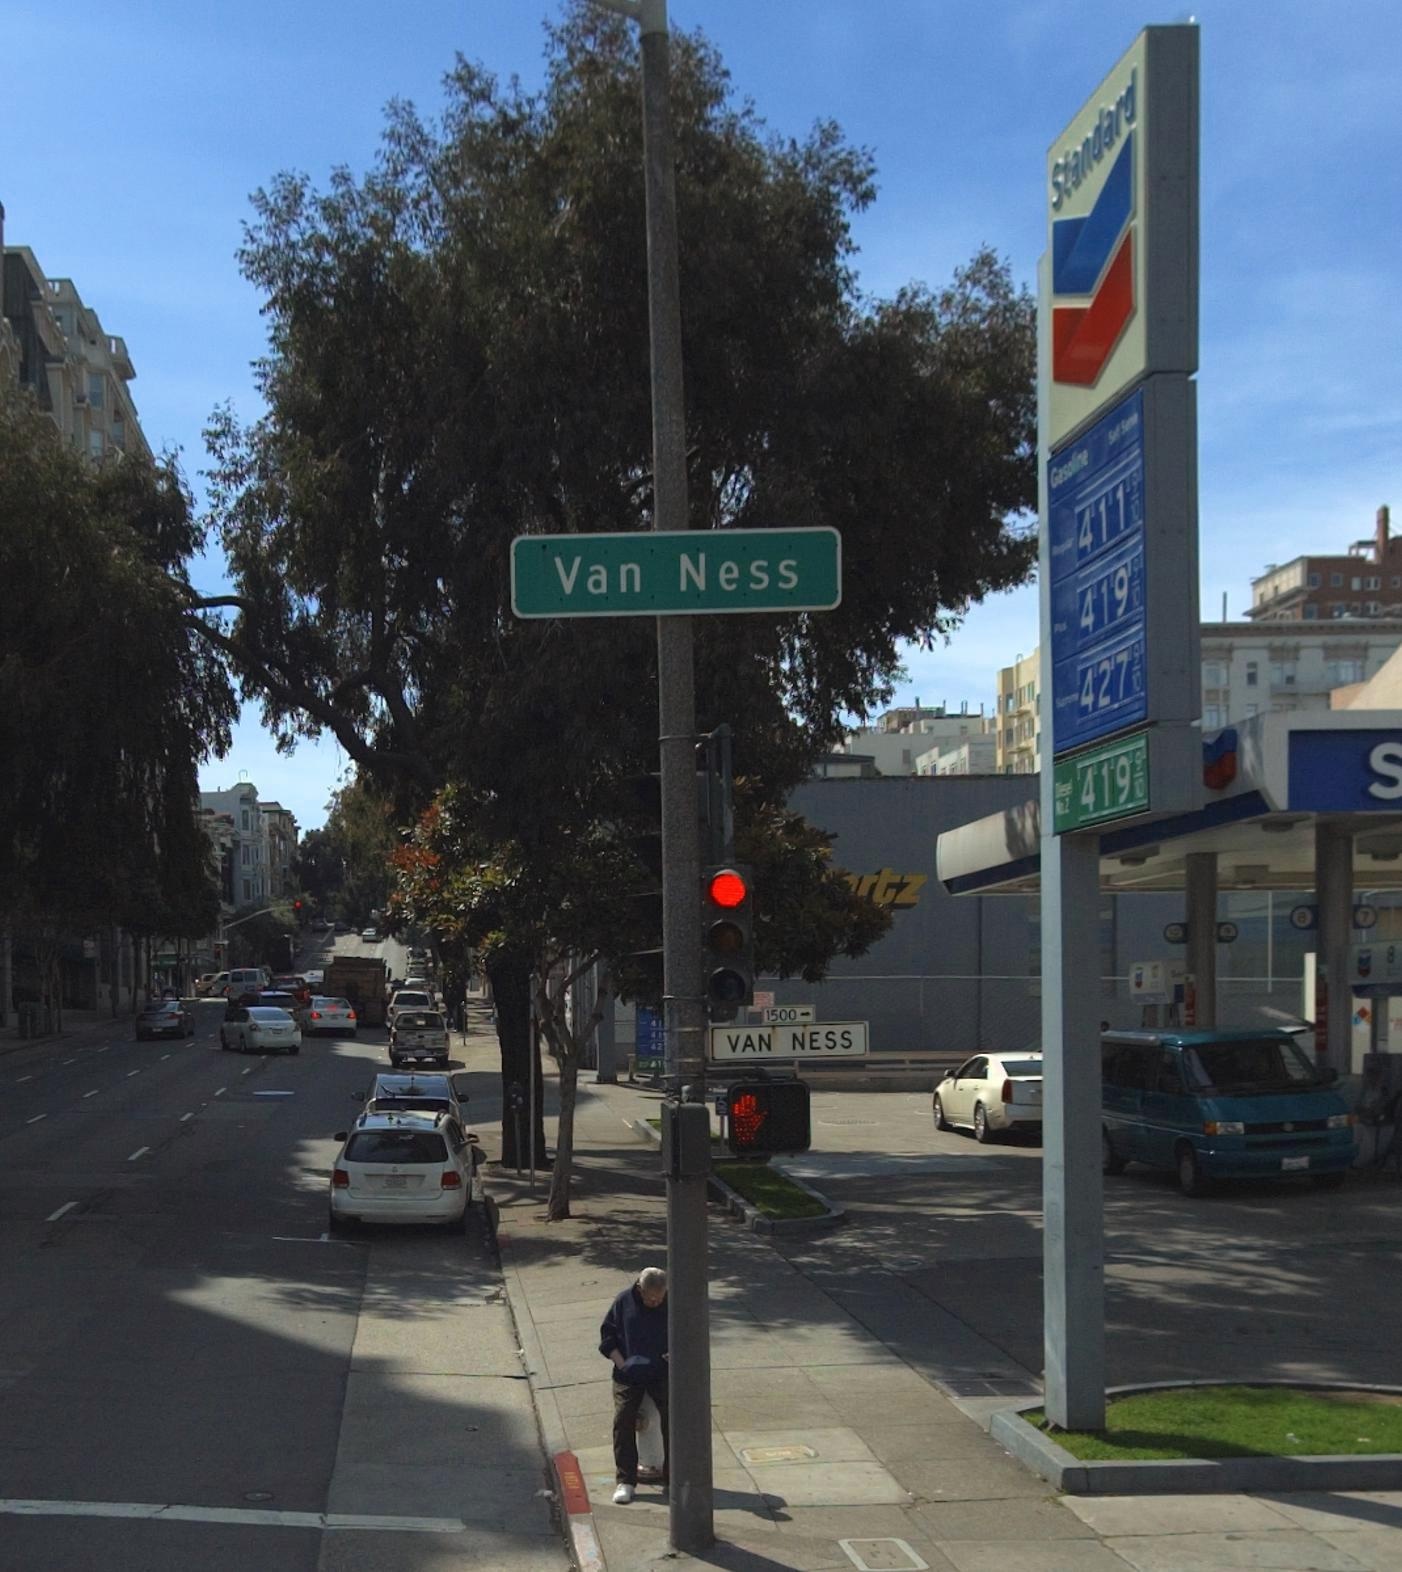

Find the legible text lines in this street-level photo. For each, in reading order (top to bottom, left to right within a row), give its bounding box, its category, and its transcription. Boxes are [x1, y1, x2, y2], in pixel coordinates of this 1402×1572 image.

[1048, 56, 1141, 212] None: Standard
[1047, 445, 1094, 493] None: Gaso***e
[1072, 467, 1144, 557] None: 4*1*1*9/10
[547, 548, 802, 598] StreetName: Van Ness
[1075, 551, 1147, 639] None: 4*1*9*9/10
[1076, 636, 1147, 717] None: 4*2*7*9/10
[1075, 743, 1150, 816] None: 4*1*9*9/10
[852, 864, 933, 912] None: rtz
[1294, 909, 1310, 927] None: 8
[1357, 908, 1372, 926] None: 7
[1384, 944, 1398, 967] None: 8
[648, 1029, 664, 1040] None: *1
[648, 1016, 665, 1030] None: *1
[648, 1040, 665, 1052] None: *2
[763, 1006, 814, 1025] None: 1500->
[723, 1027, 856, 1055] StreetName: Van Ness
[648, 1057, 664, 1071] None: *1